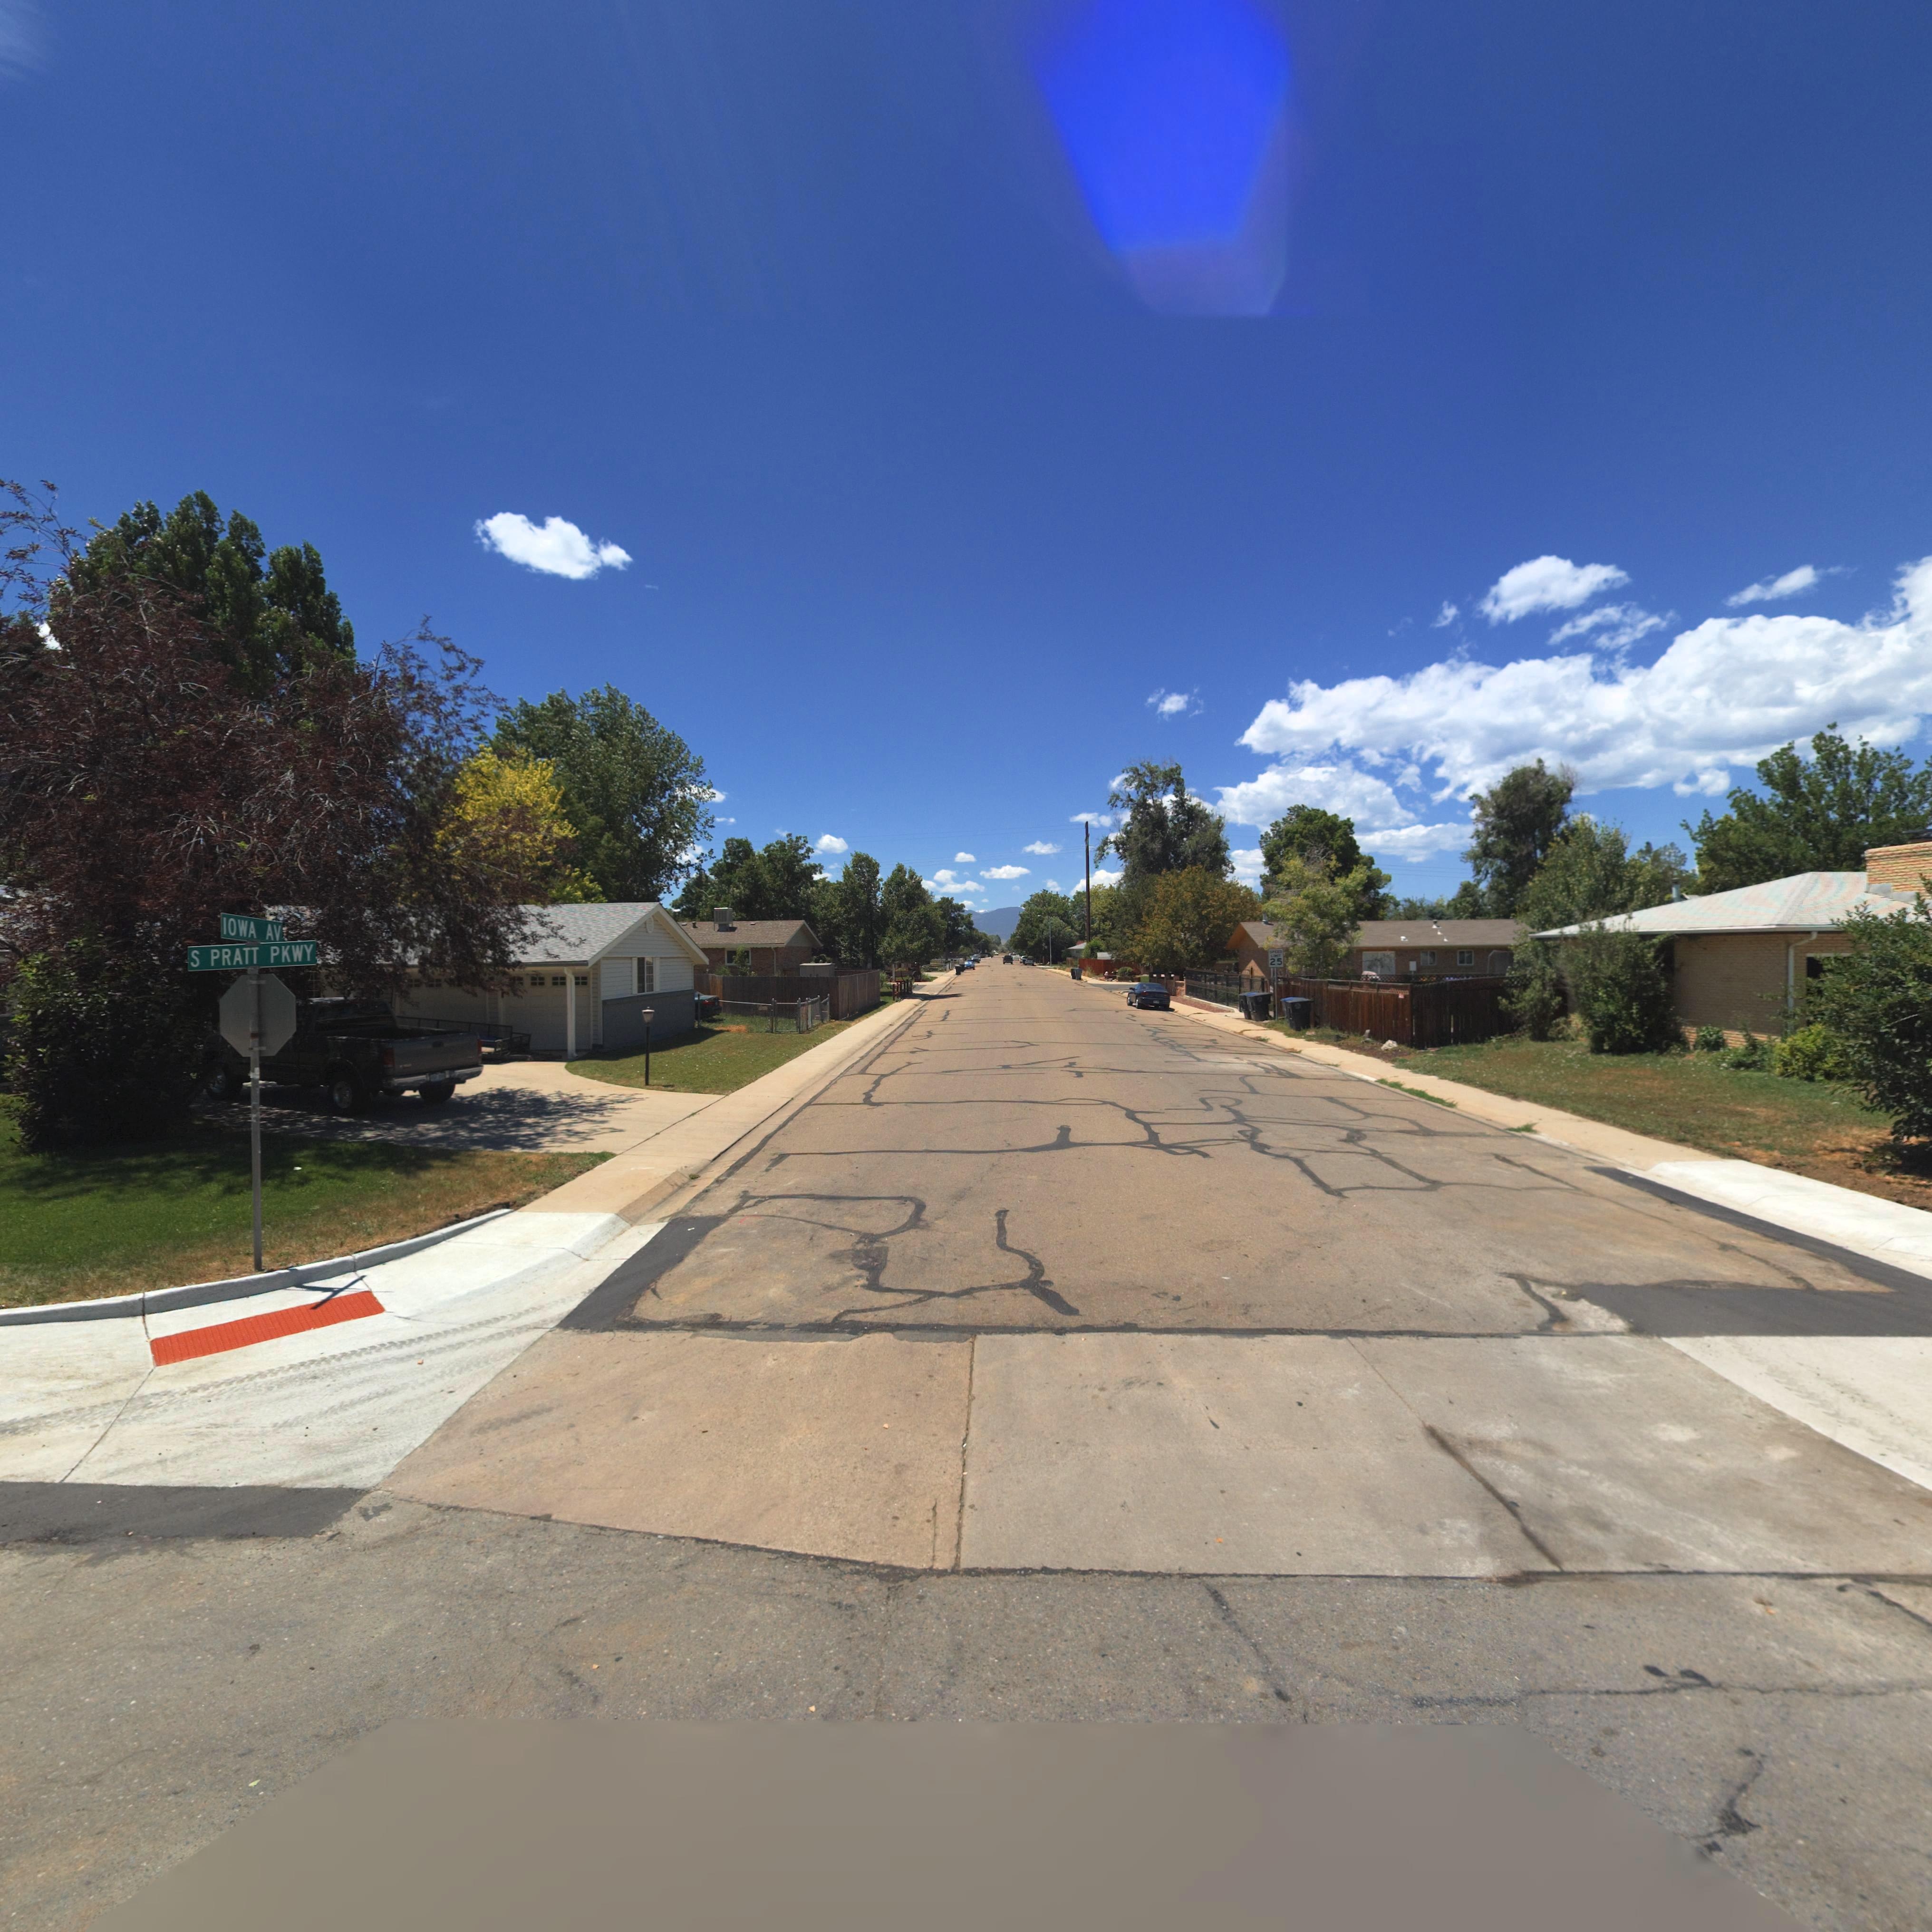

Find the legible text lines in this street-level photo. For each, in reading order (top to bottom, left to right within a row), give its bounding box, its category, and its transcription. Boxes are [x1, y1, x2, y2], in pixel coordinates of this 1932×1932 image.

[223, 916, 282, 942] StreetName: IOWA AV
[190, 944, 314, 968] StreetName: S PRATT PKWY